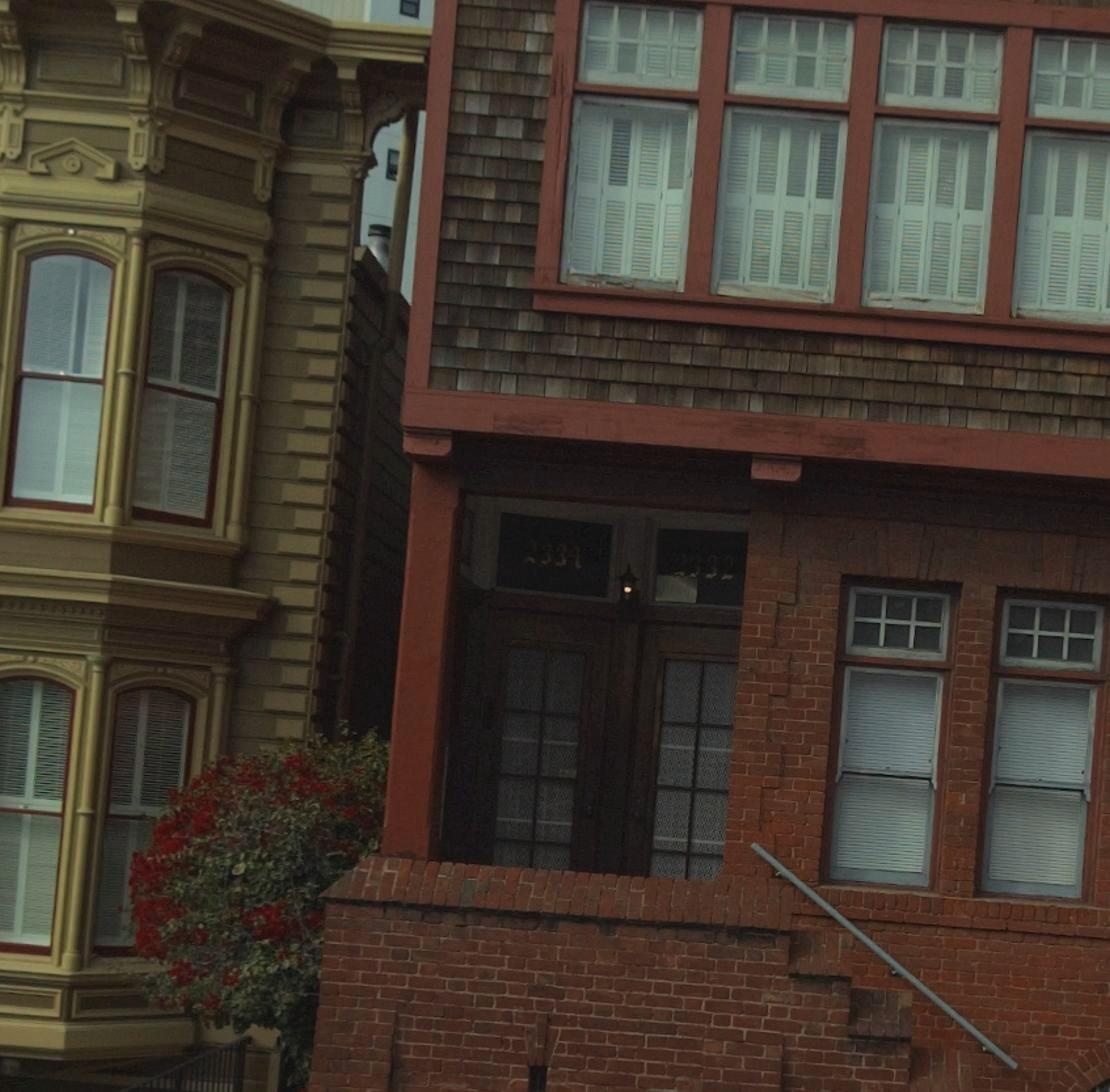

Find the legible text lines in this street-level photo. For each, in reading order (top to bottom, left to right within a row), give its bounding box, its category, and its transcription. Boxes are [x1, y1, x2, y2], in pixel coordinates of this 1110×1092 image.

[520, 536, 586, 572] StreetNumber: 2334
[671, 549, 738, 583] StreetNumber: 2332